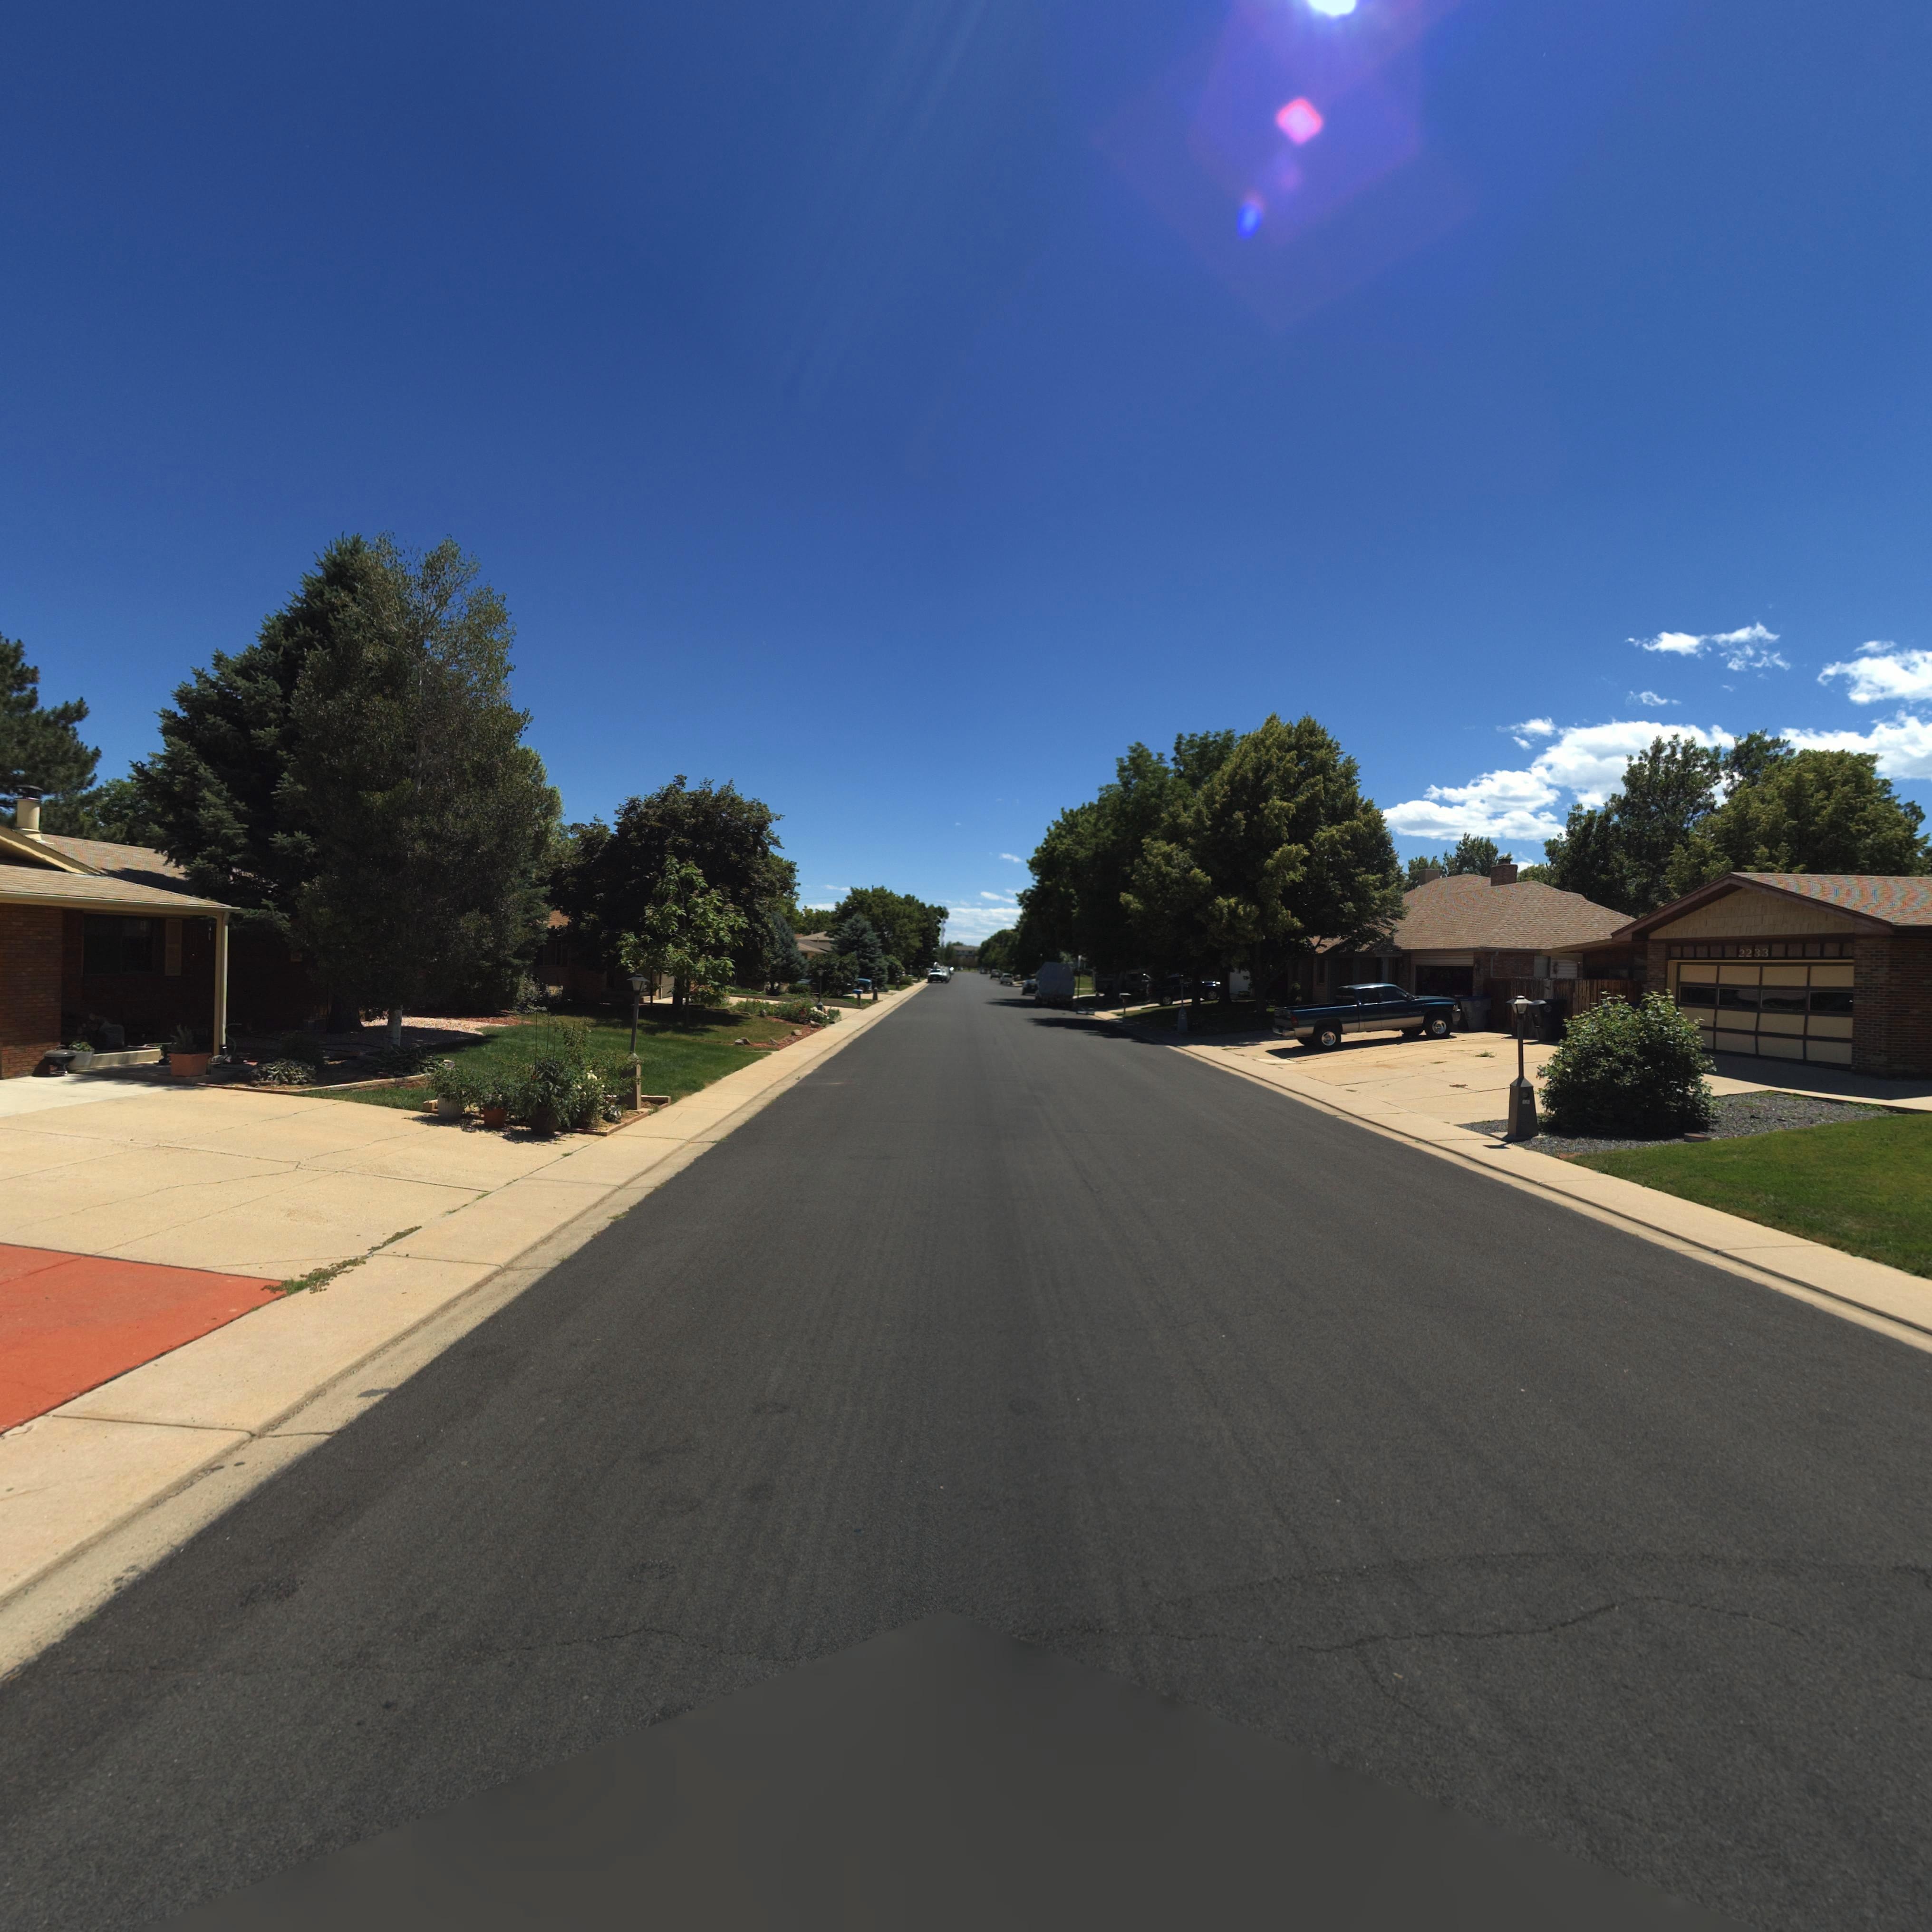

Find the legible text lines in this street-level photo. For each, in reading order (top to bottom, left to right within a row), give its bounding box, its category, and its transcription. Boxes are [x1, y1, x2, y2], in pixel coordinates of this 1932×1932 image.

[1737, 948, 1770, 957] StreetNumber: 2283